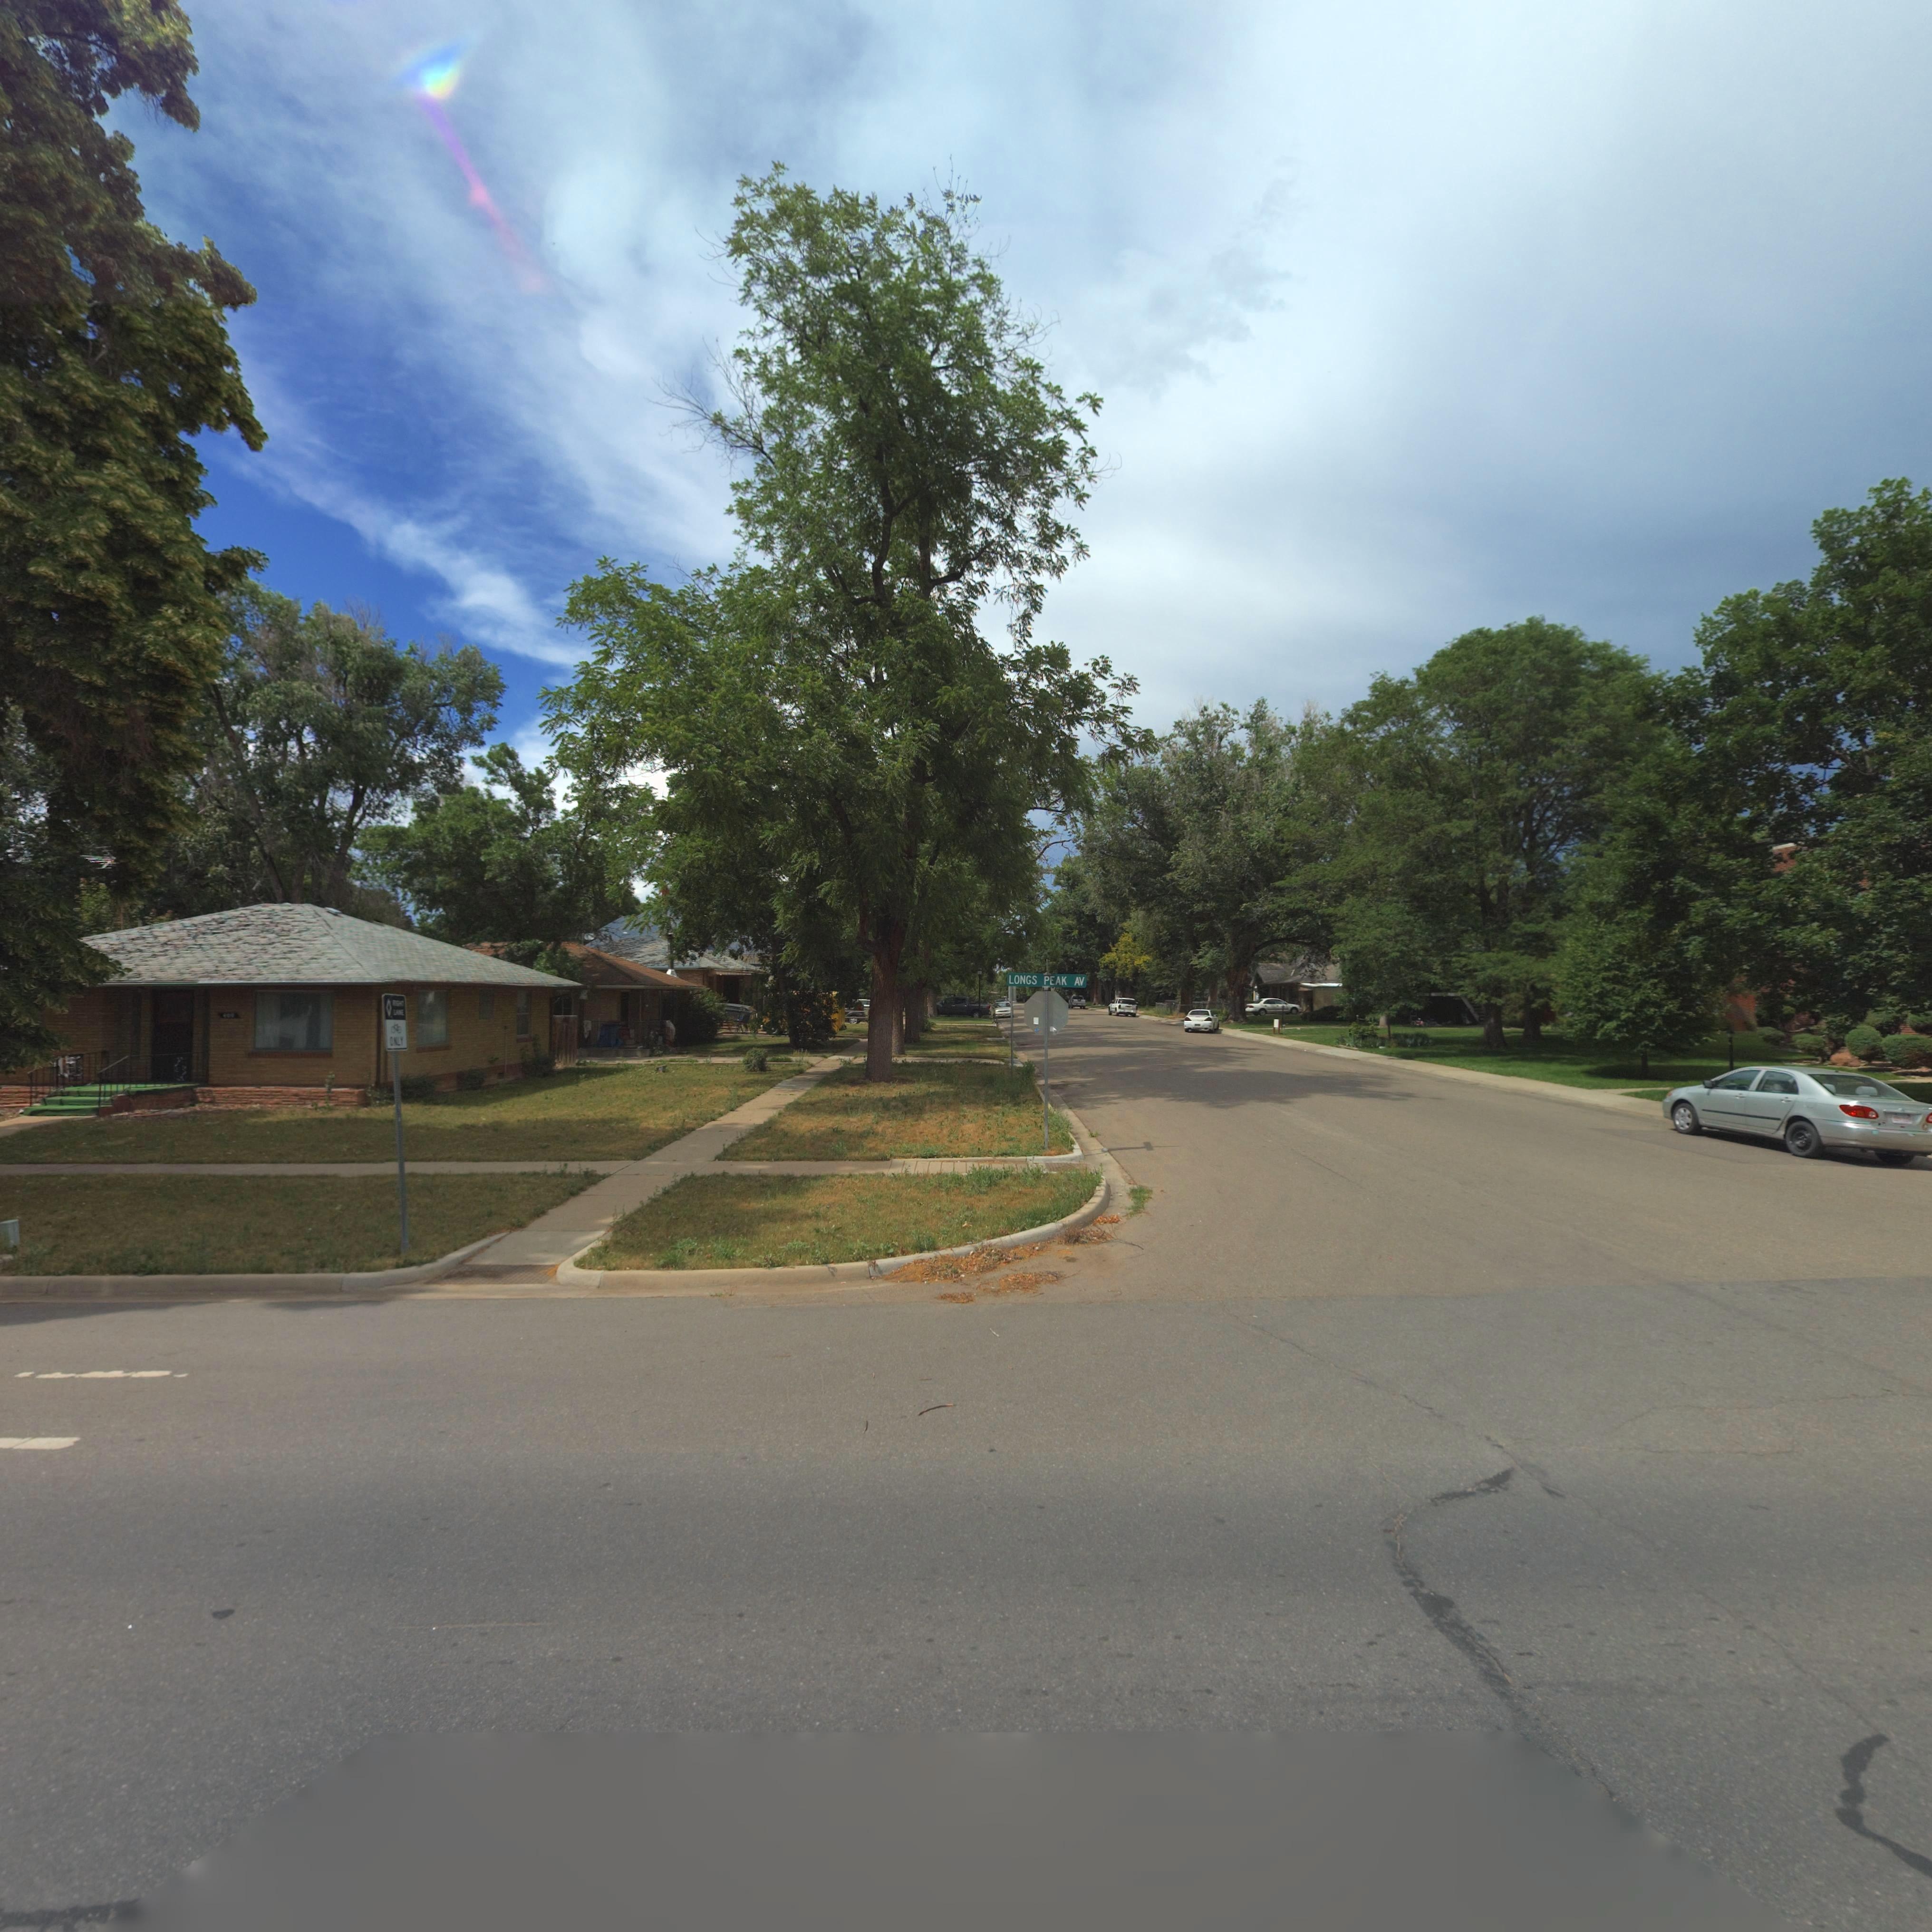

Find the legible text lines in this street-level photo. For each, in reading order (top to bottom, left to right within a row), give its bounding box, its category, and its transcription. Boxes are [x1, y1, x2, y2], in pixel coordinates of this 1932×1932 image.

[1008, 974, 1085, 986] StreetName: LONGS PEAK AV
[222, 1013, 235, 1019] StreetNumber: 400